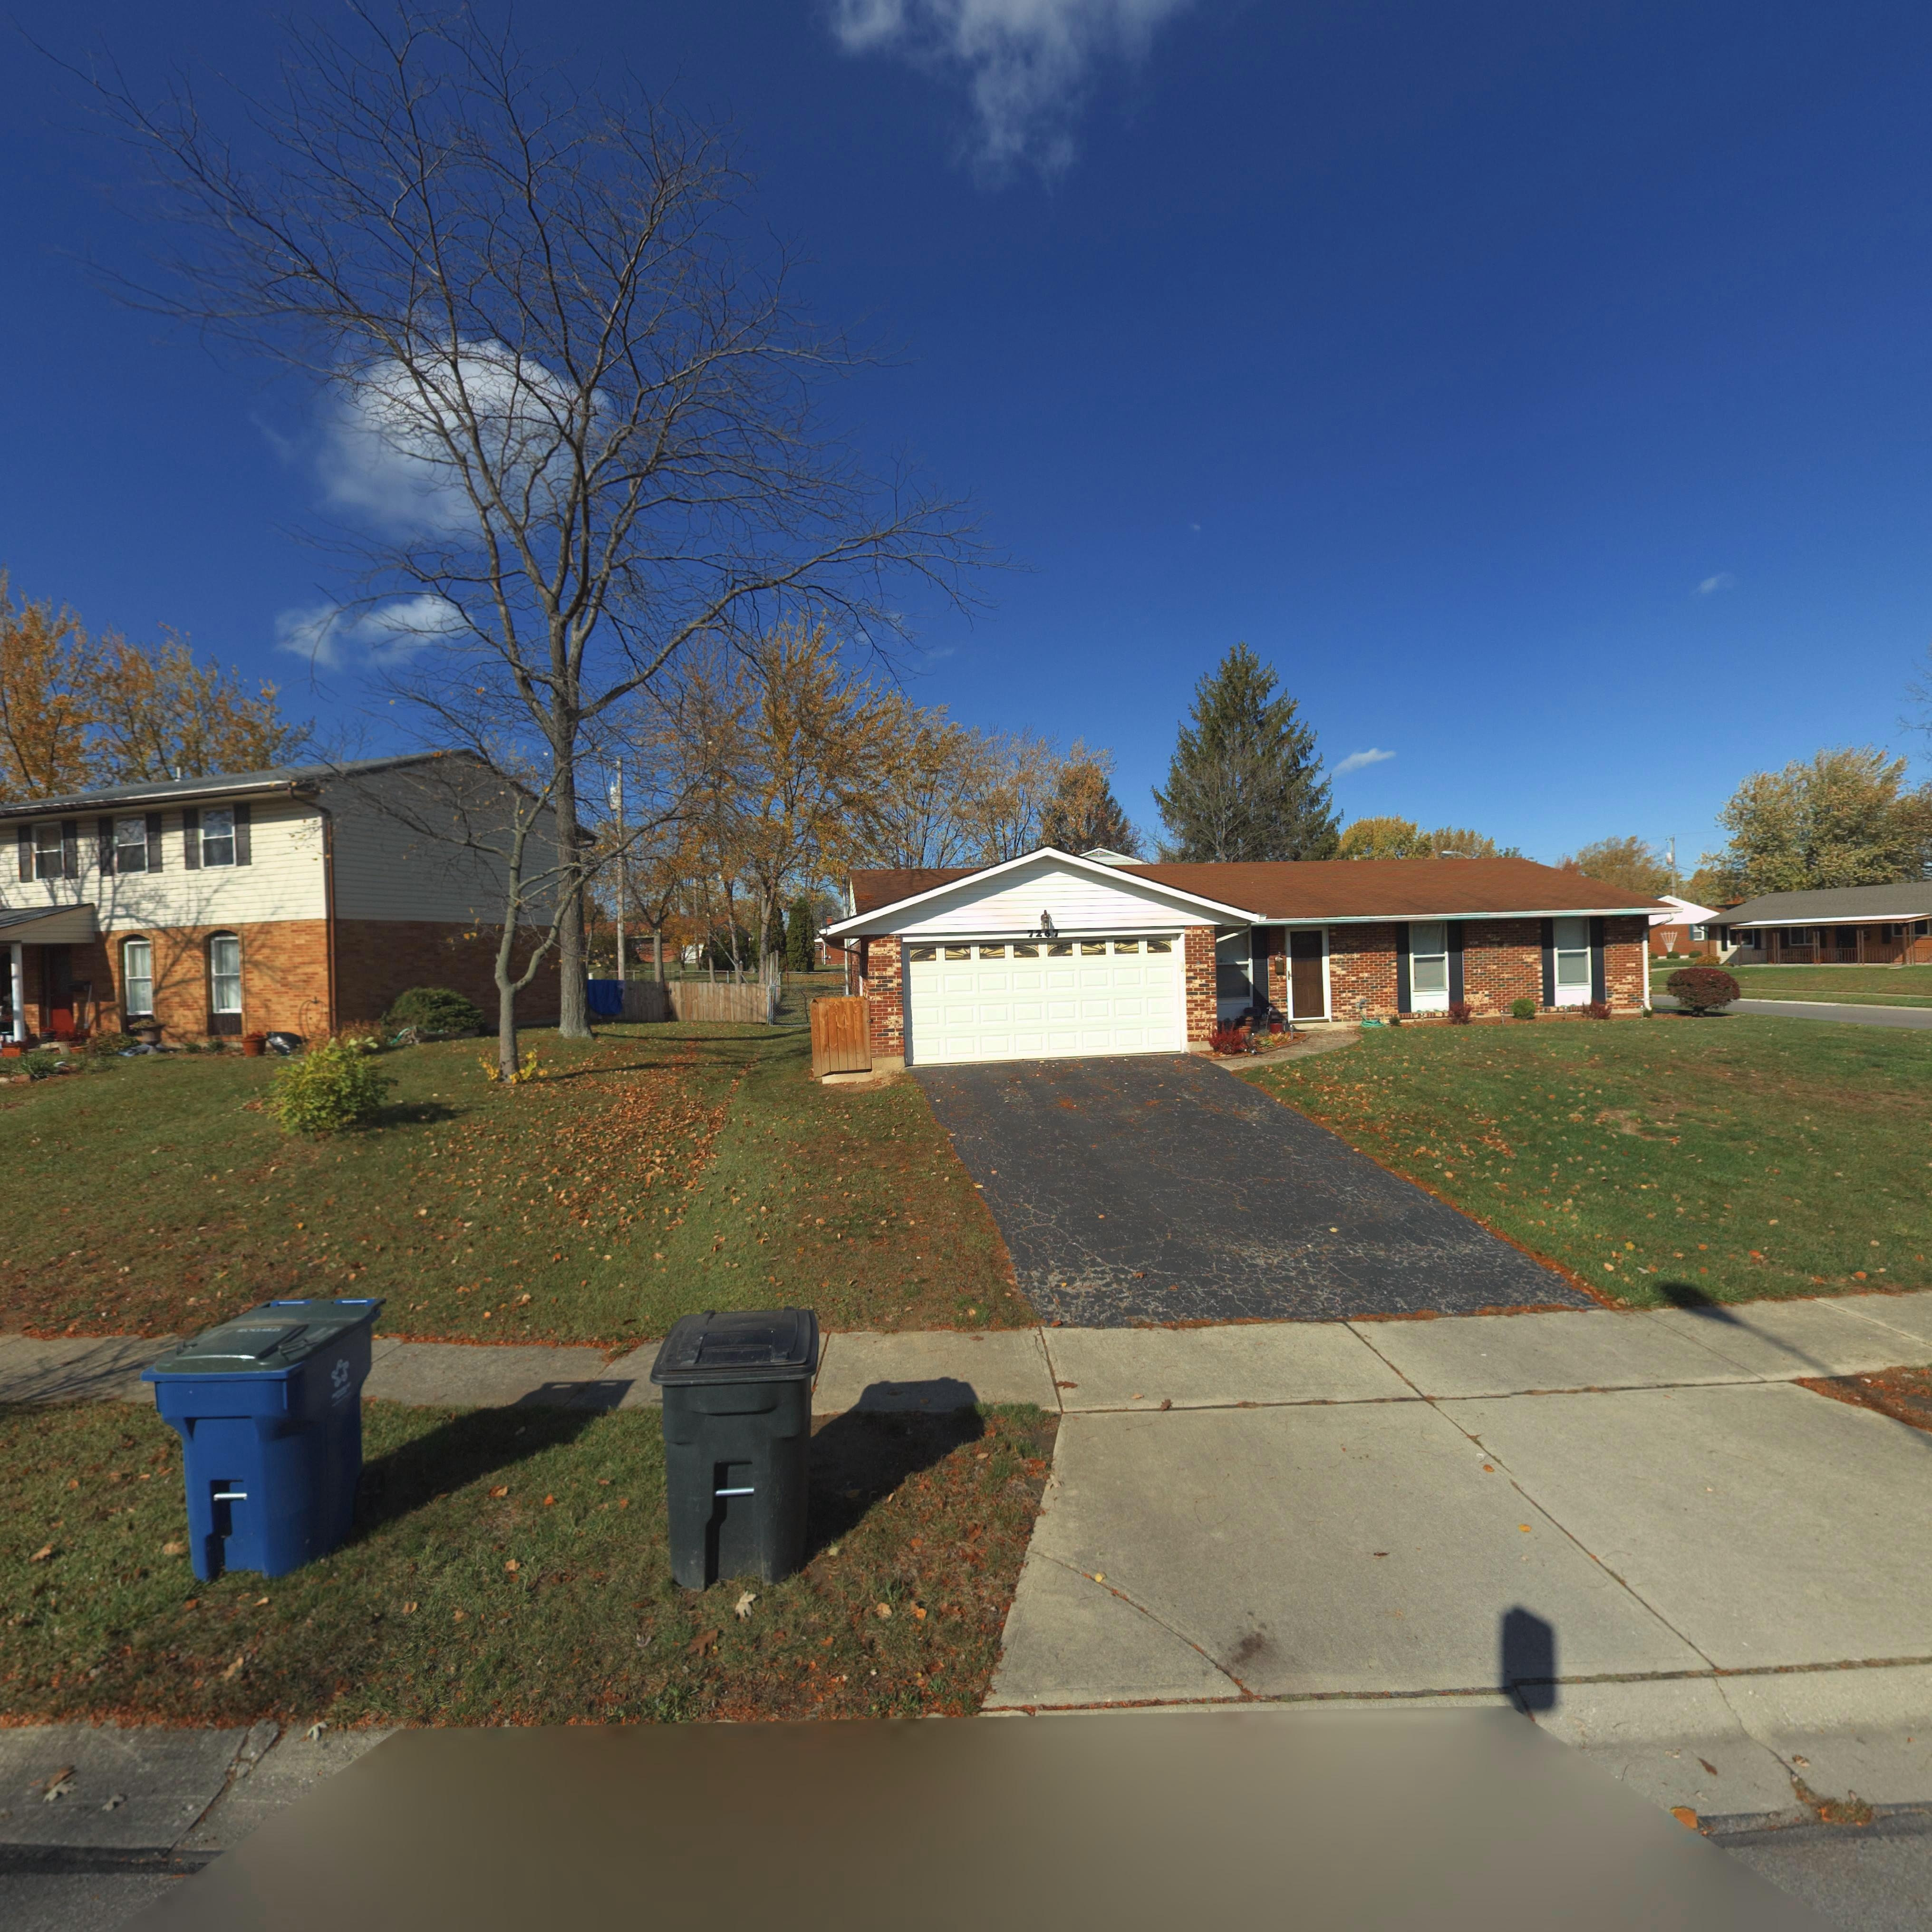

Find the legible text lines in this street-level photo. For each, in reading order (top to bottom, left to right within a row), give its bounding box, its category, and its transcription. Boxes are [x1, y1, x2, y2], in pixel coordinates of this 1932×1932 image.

[1026, 928, 1059, 939] StreetNumber: 7267